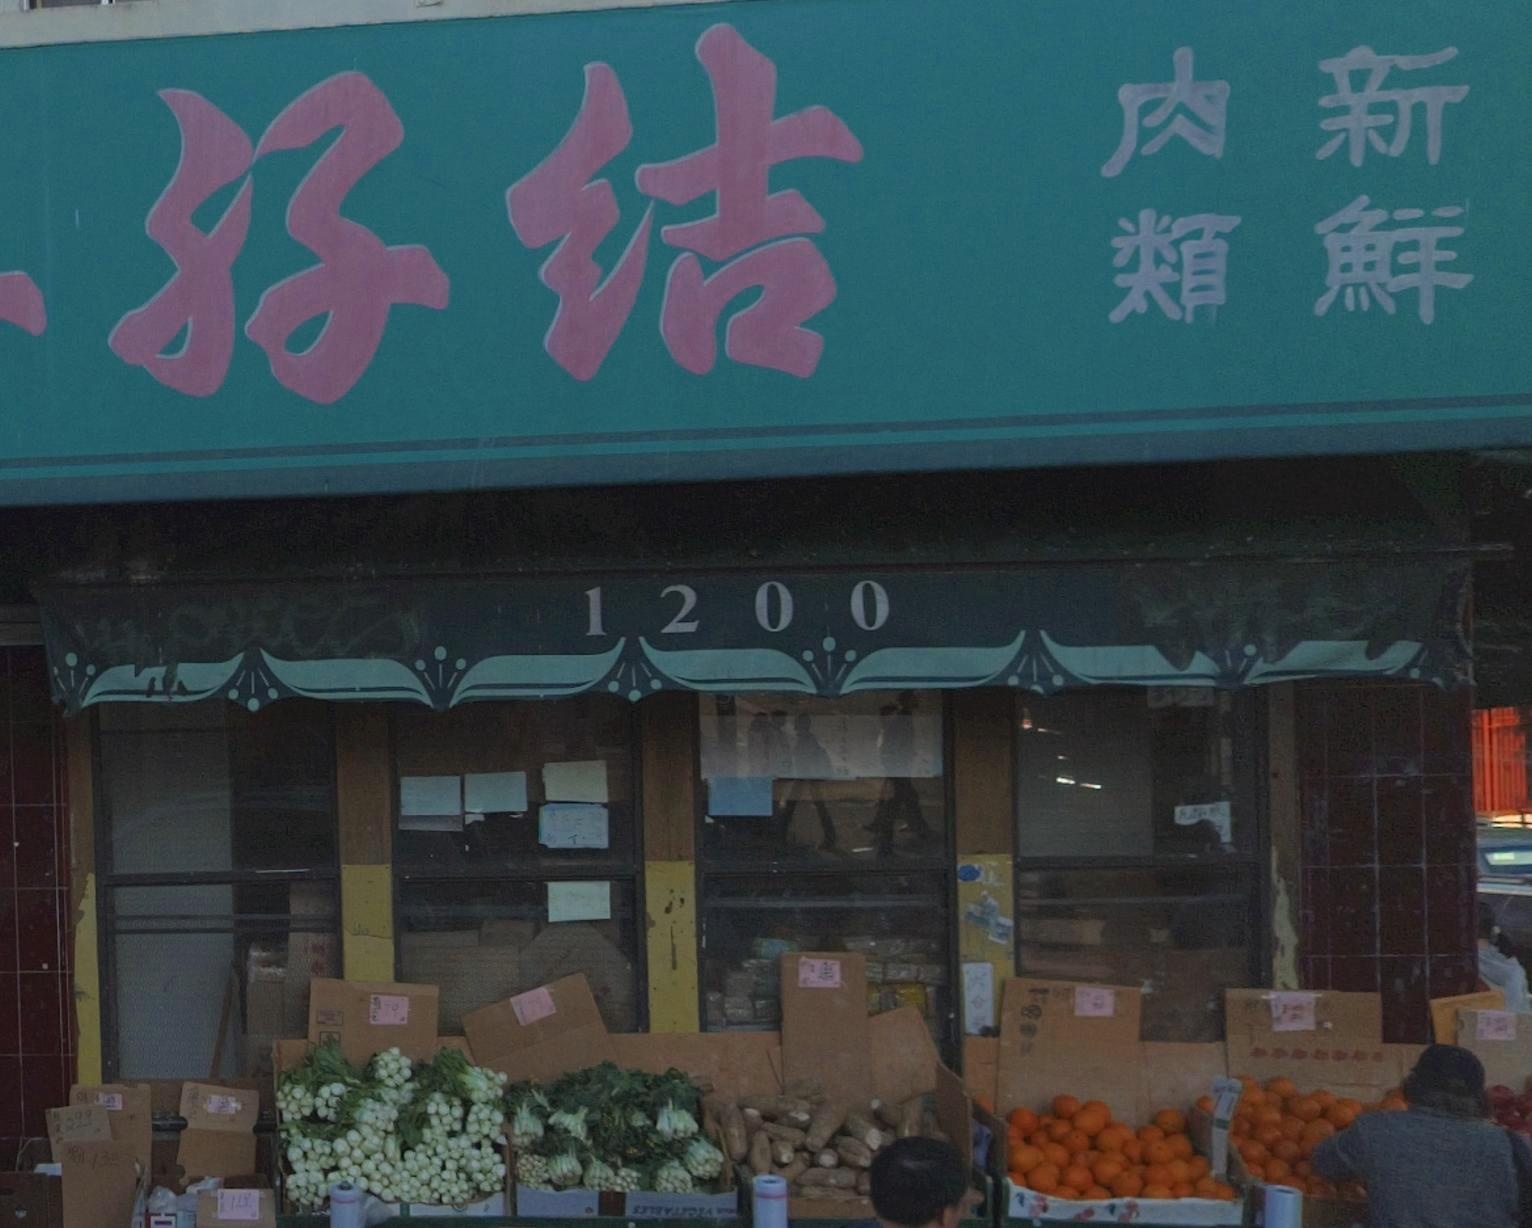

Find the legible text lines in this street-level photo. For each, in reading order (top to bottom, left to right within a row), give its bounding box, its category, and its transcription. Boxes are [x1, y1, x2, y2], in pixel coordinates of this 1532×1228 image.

[578, 578, 894, 638] StreetNumber: 1200